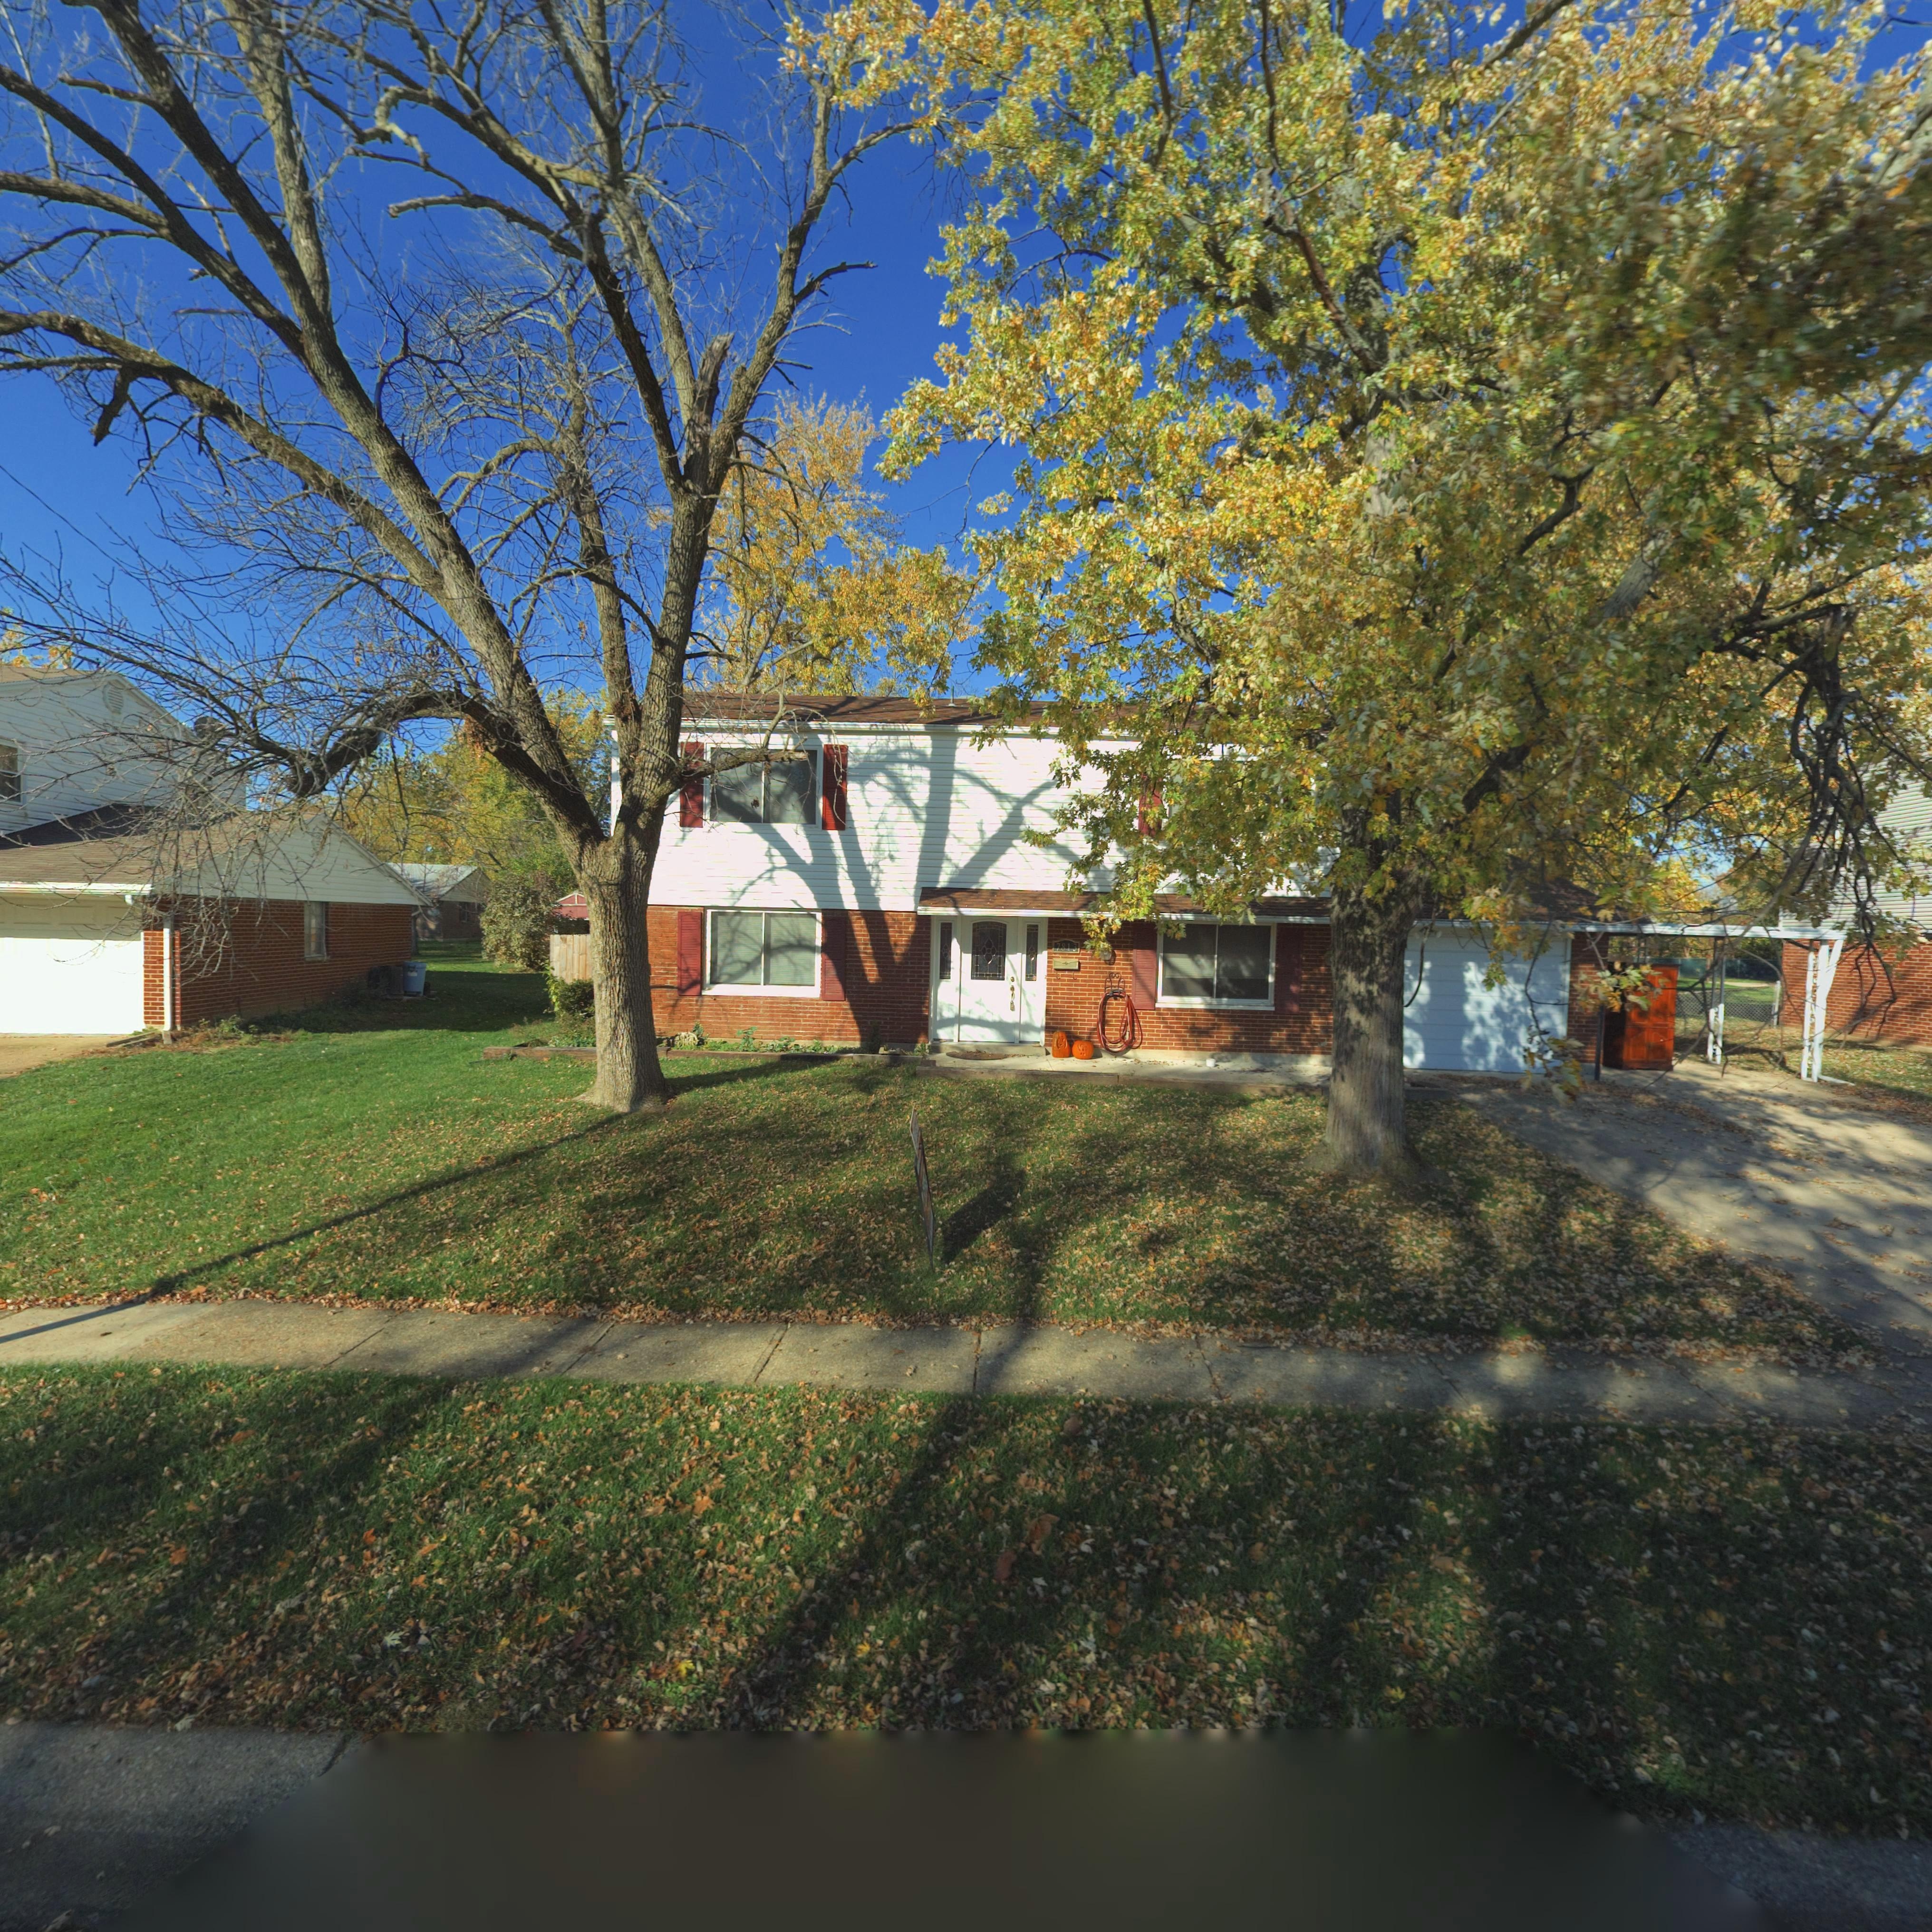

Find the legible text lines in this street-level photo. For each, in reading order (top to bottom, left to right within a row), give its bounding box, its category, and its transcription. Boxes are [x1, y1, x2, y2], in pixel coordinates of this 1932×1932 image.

[1056, 942, 1078, 952] StreetNumber: 7813